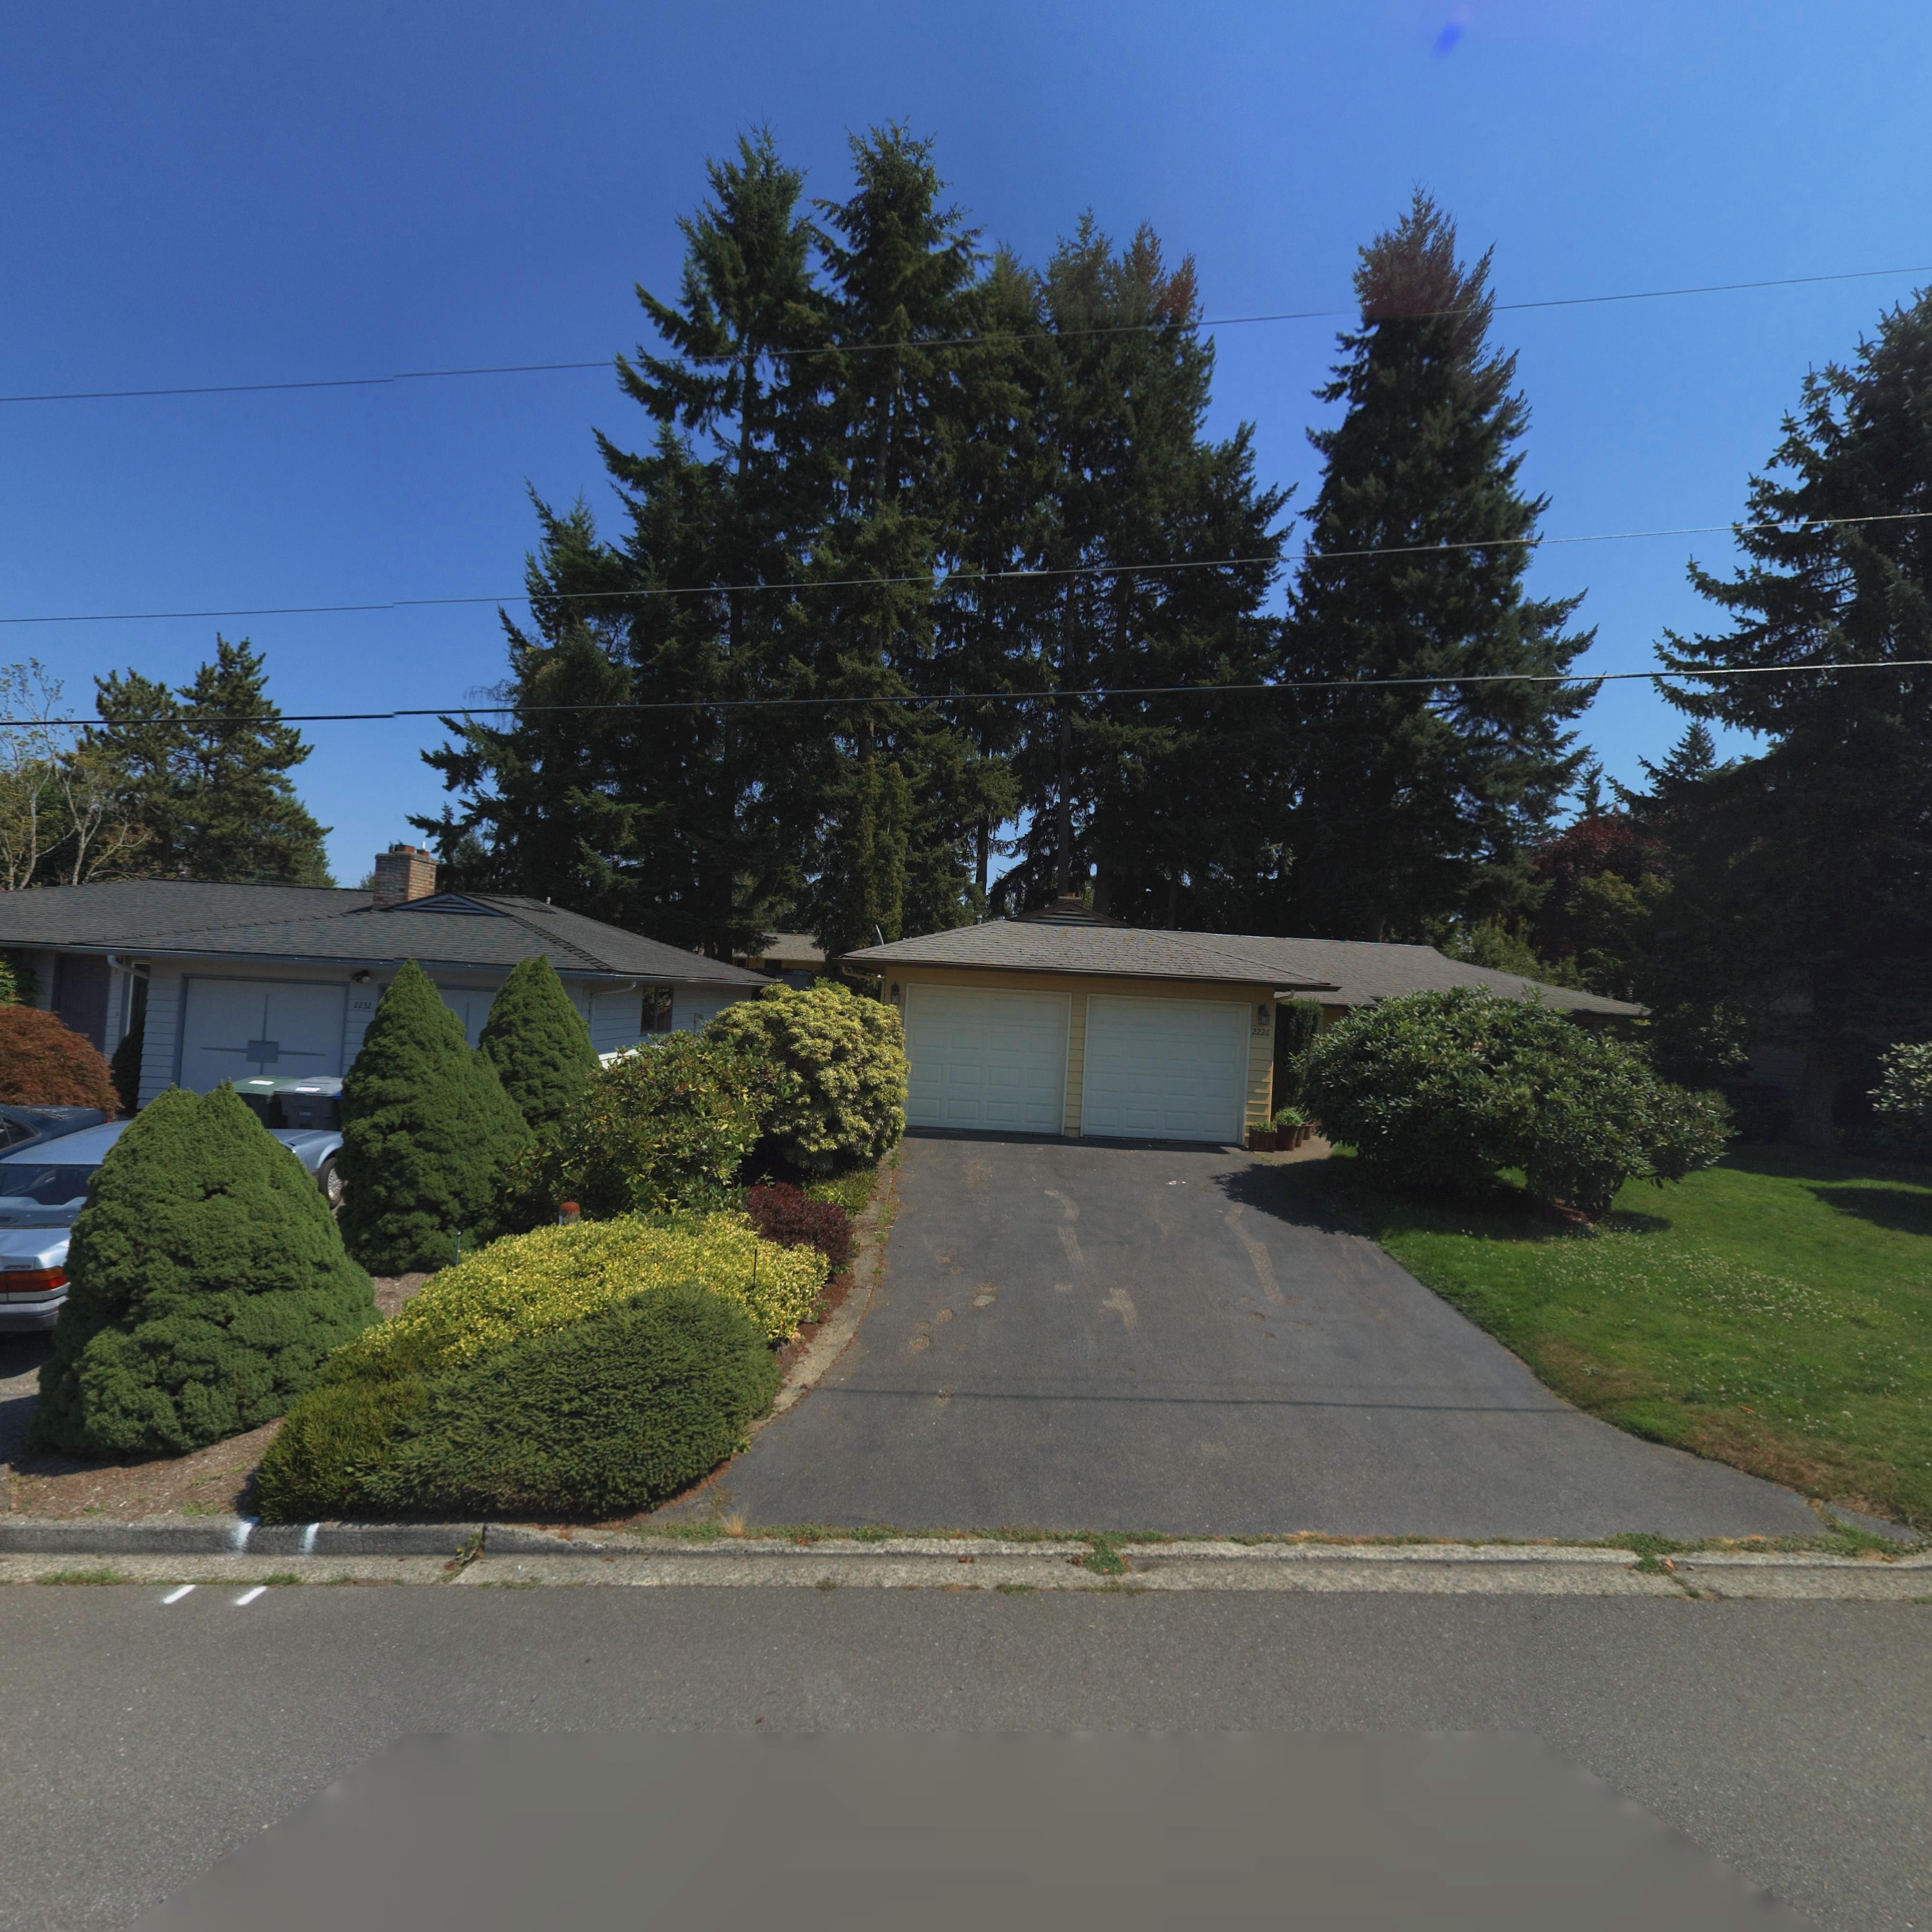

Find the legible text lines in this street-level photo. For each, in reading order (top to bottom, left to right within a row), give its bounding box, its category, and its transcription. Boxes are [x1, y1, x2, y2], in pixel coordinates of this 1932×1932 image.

[352, 1000, 372, 1011] StreetNumber: 2232
[1250, 1027, 1270, 1036] StreetNumber: 2226